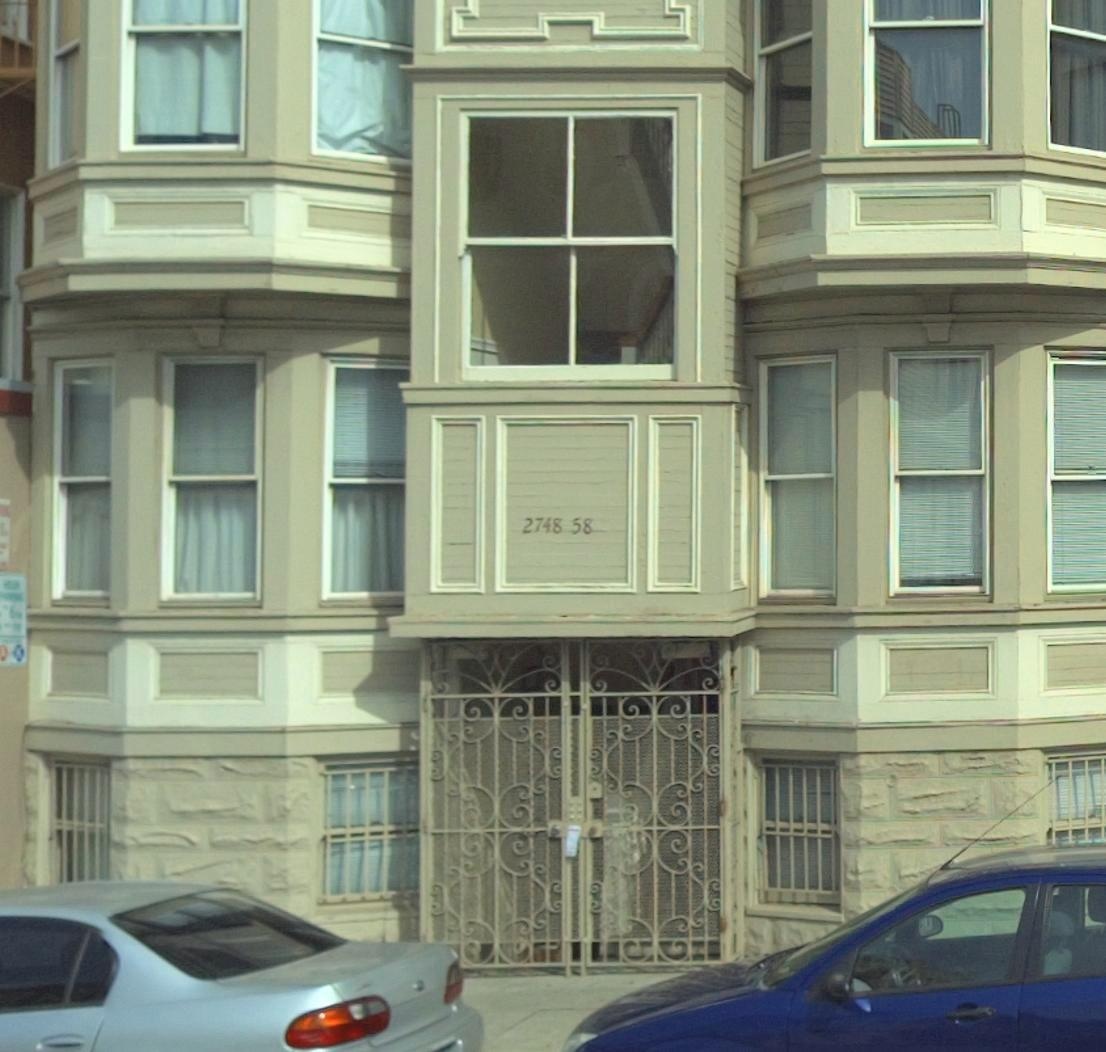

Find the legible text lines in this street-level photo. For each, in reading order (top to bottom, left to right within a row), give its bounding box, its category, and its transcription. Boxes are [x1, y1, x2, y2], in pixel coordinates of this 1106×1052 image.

[519, 514, 597, 538] StreetNumber: 2748 58